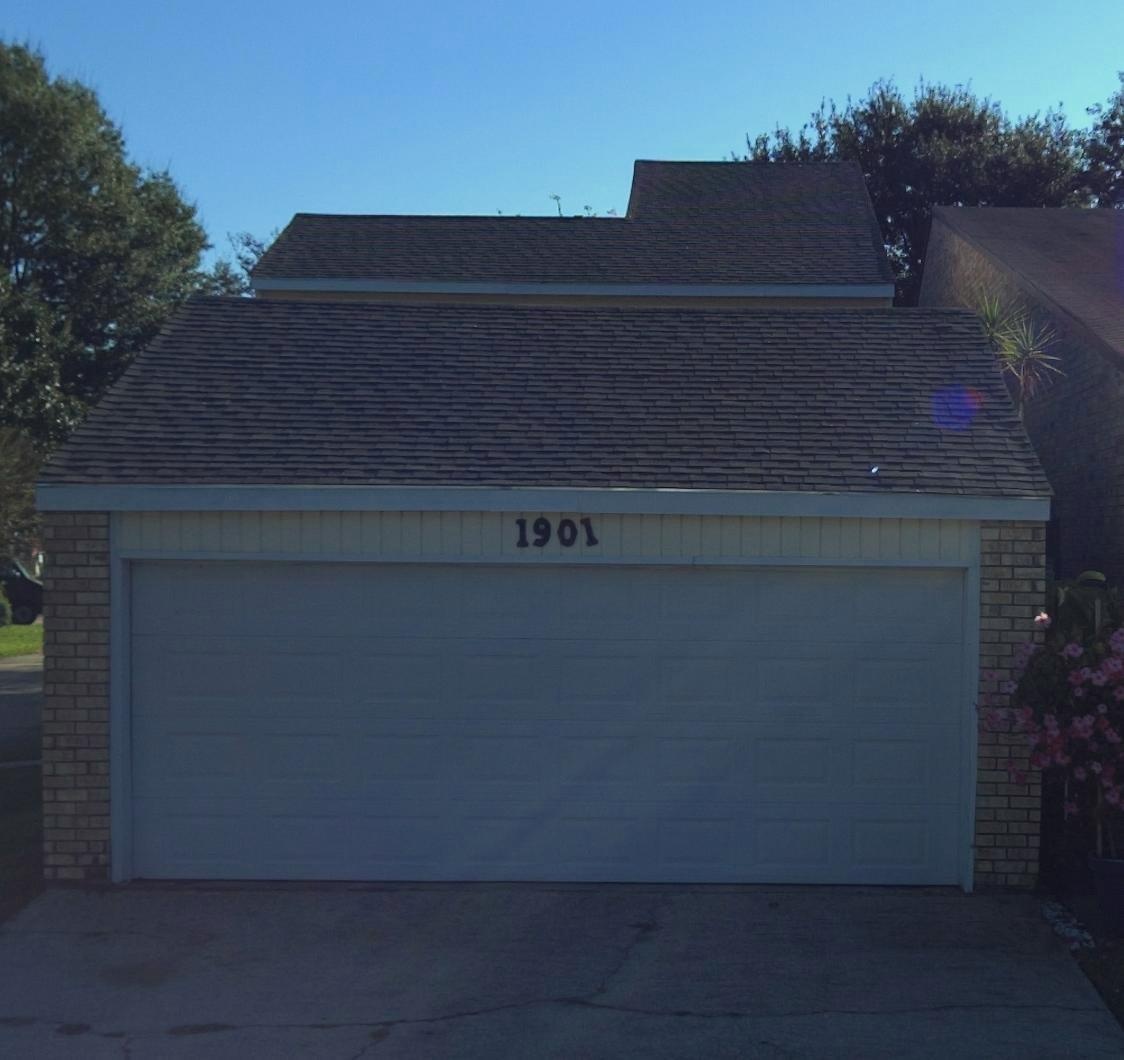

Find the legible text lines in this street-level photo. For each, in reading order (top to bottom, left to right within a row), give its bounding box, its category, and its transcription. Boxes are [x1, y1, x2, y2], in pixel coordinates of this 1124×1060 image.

[513, 515, 601, 550] StreetNumber: 1901